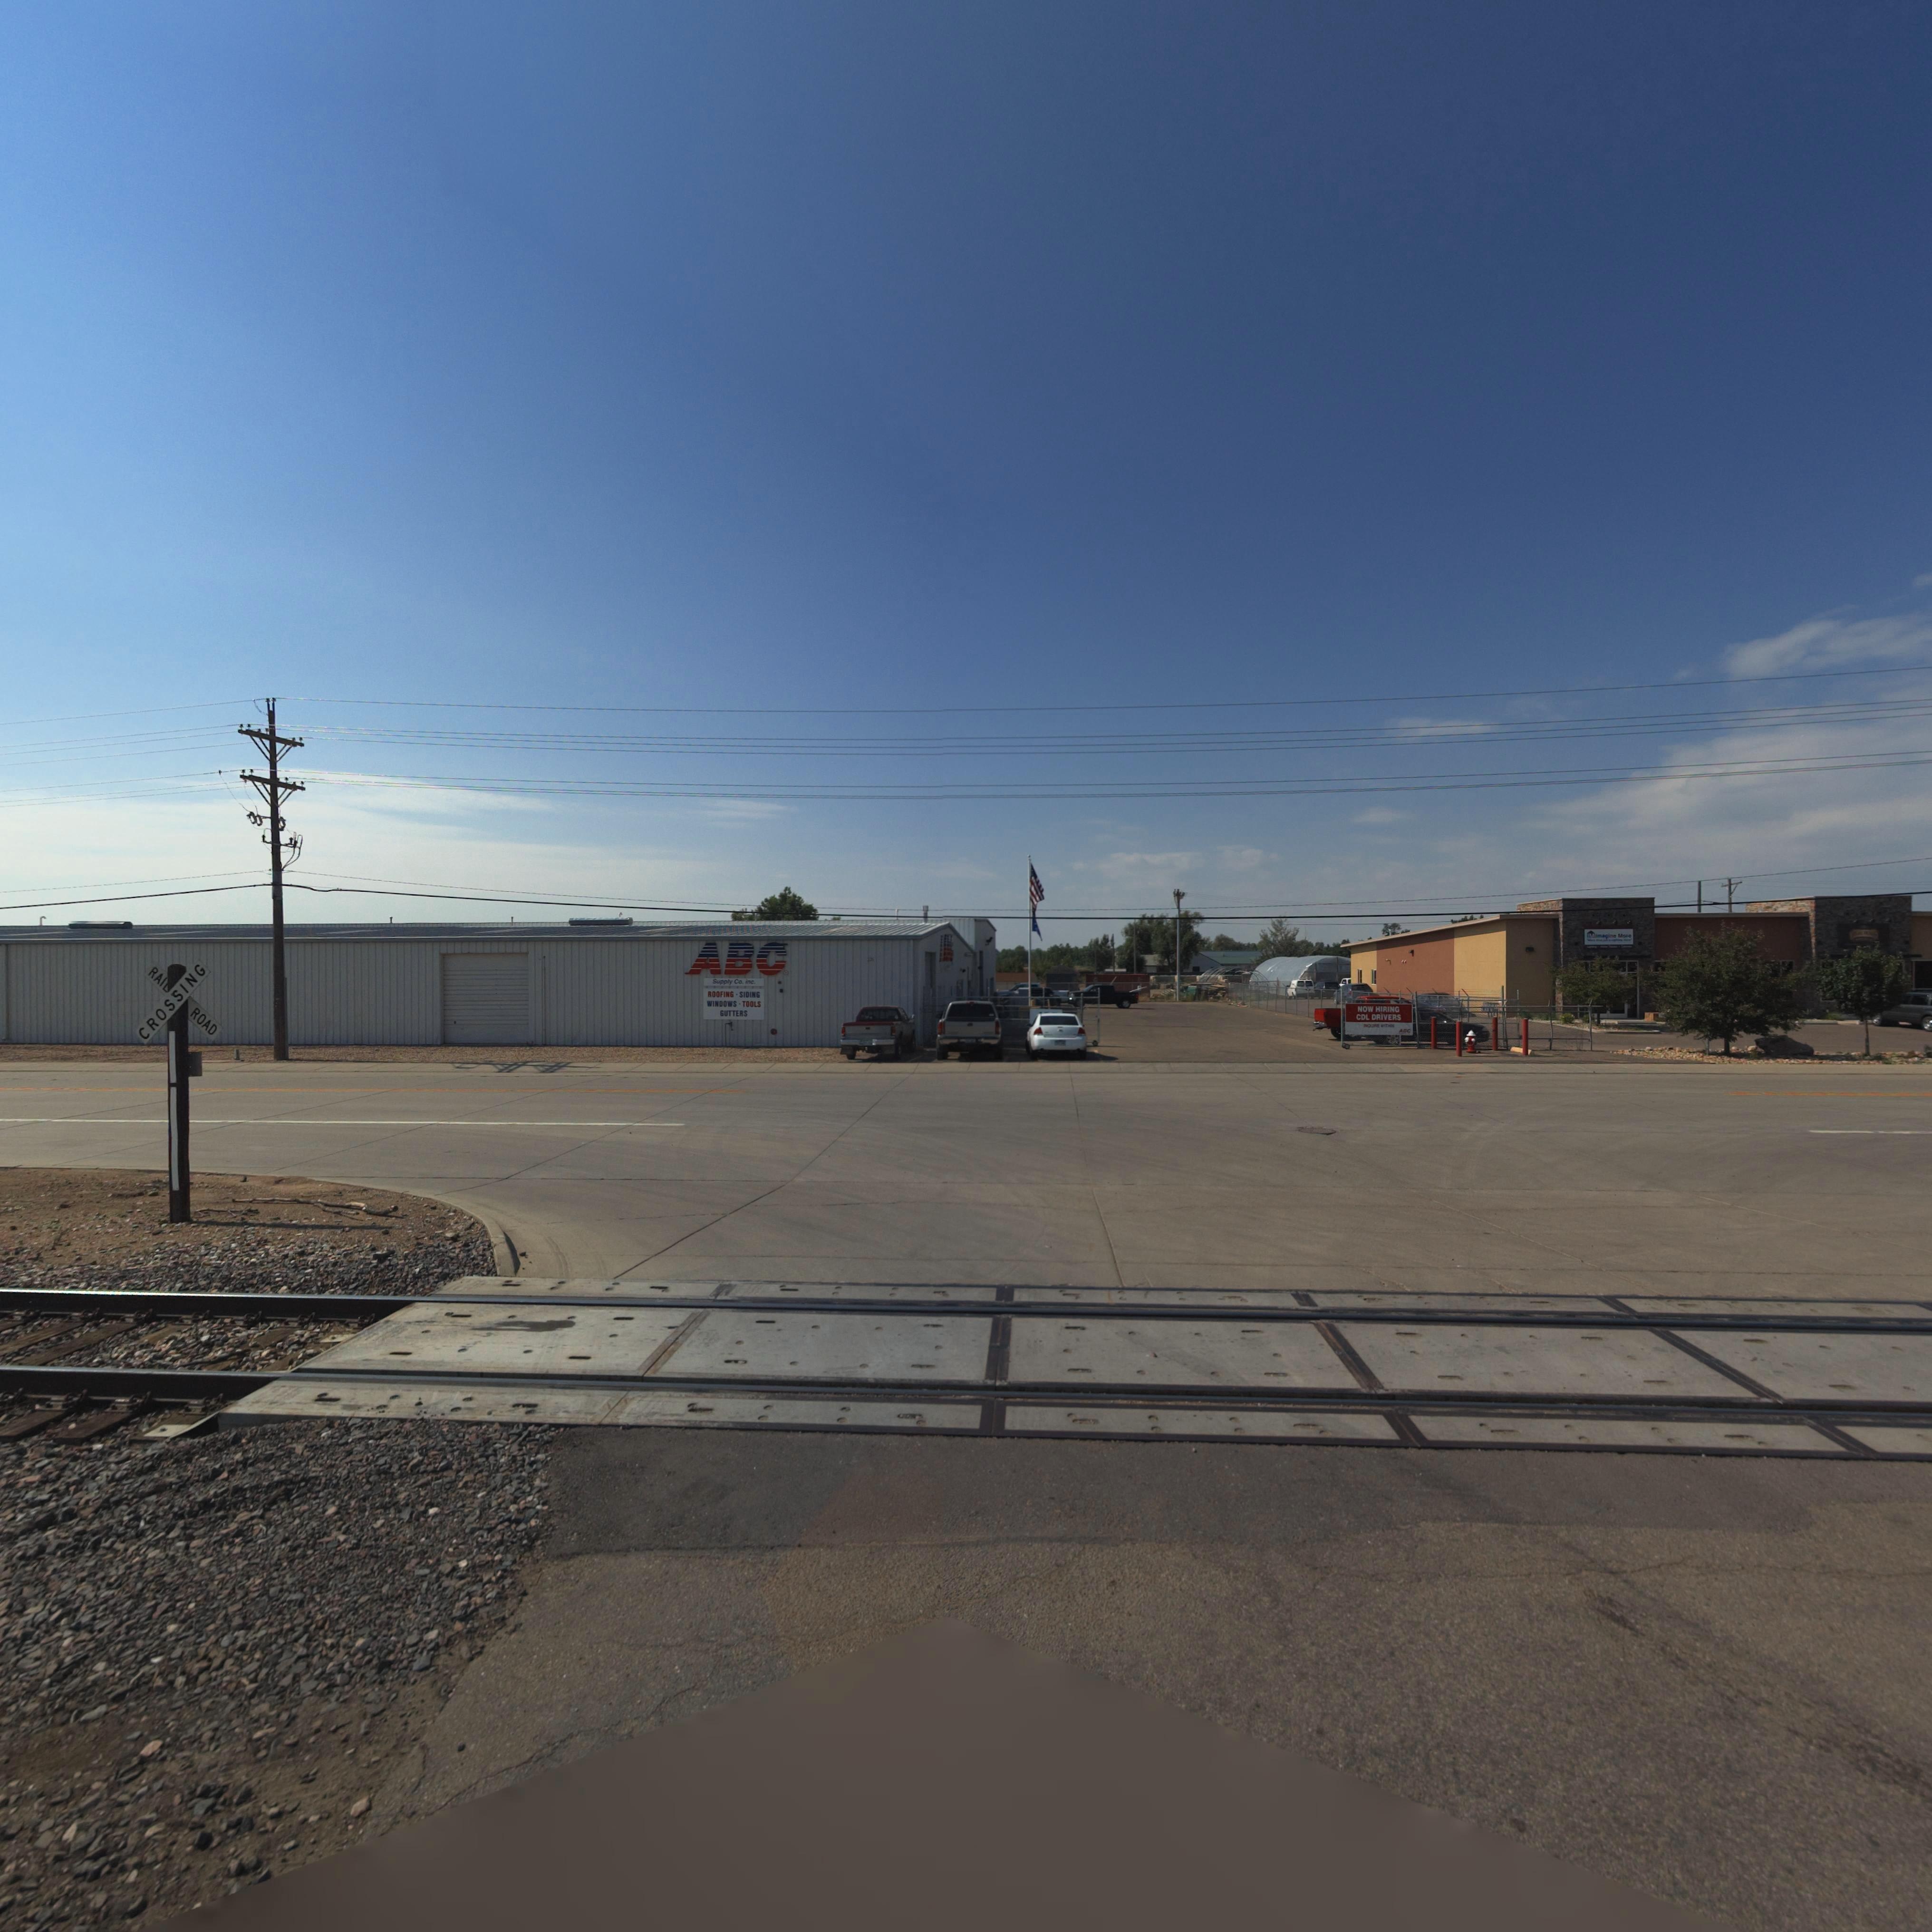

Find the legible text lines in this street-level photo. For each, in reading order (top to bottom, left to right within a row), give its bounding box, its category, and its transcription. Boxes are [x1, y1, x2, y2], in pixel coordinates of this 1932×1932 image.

[1587, 933, 1594, 938] BusinessName: IM
[1595, 933, 1632, 940] BusinessName: Imagine More
[684, 941, 788, 976] BusinessName: ABC